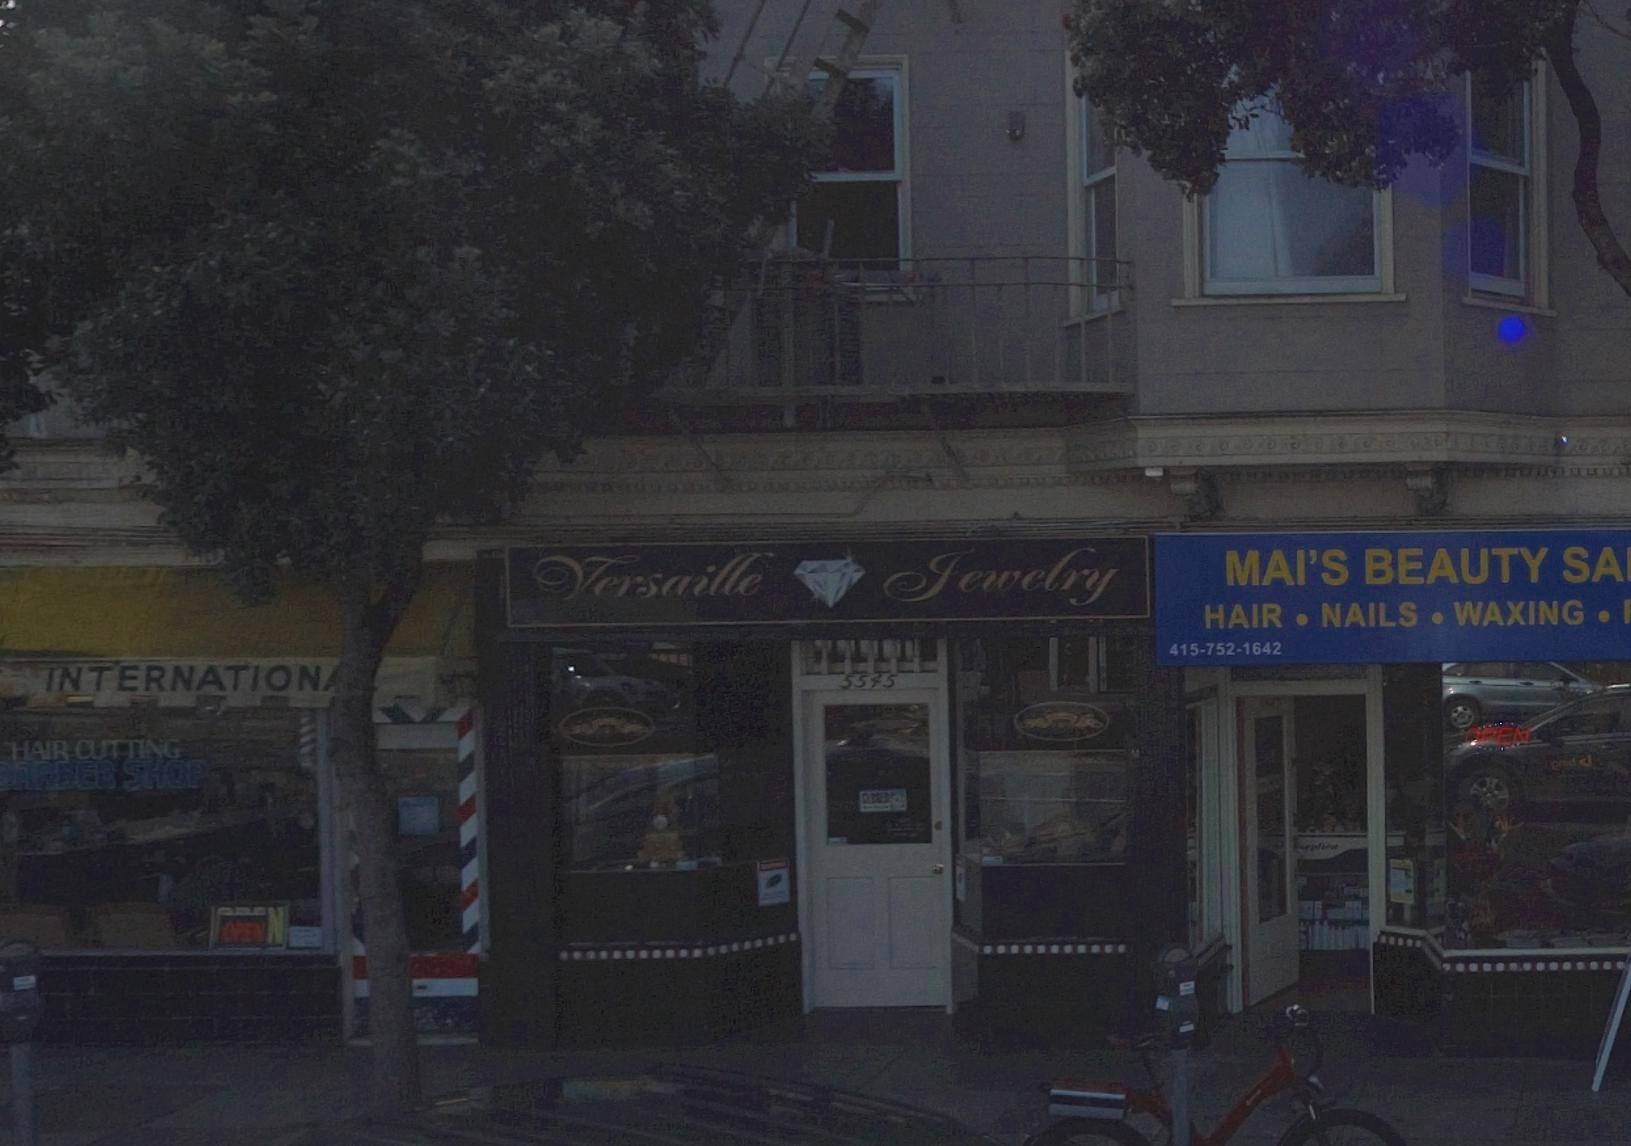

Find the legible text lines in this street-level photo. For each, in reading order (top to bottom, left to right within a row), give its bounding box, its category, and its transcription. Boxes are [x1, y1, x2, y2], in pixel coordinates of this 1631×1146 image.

[531, 546, 1123, 608] BusinessName: Varsaille Jewelry
[1222, 540, 1629, 589] BusinessName: MAI'S BEAUTY SA
[1198, 596, 1588, 631] None: HAIR.NAILS.WAXING
[1166, 637, 1285, 659] None: 415-752-1642
[36, 662, 326, 696] None: INTERNATION
[839, 671, 900, 692] StreetNumber: 5545
[5, 734, 187, 767] None: HAIR CUTTING
[1459, 724, 1534, 750] None: OPEN
[8, 754, 211, 797] None: ARBER SHOP
[215, 916, 270, 947] None: OPEN